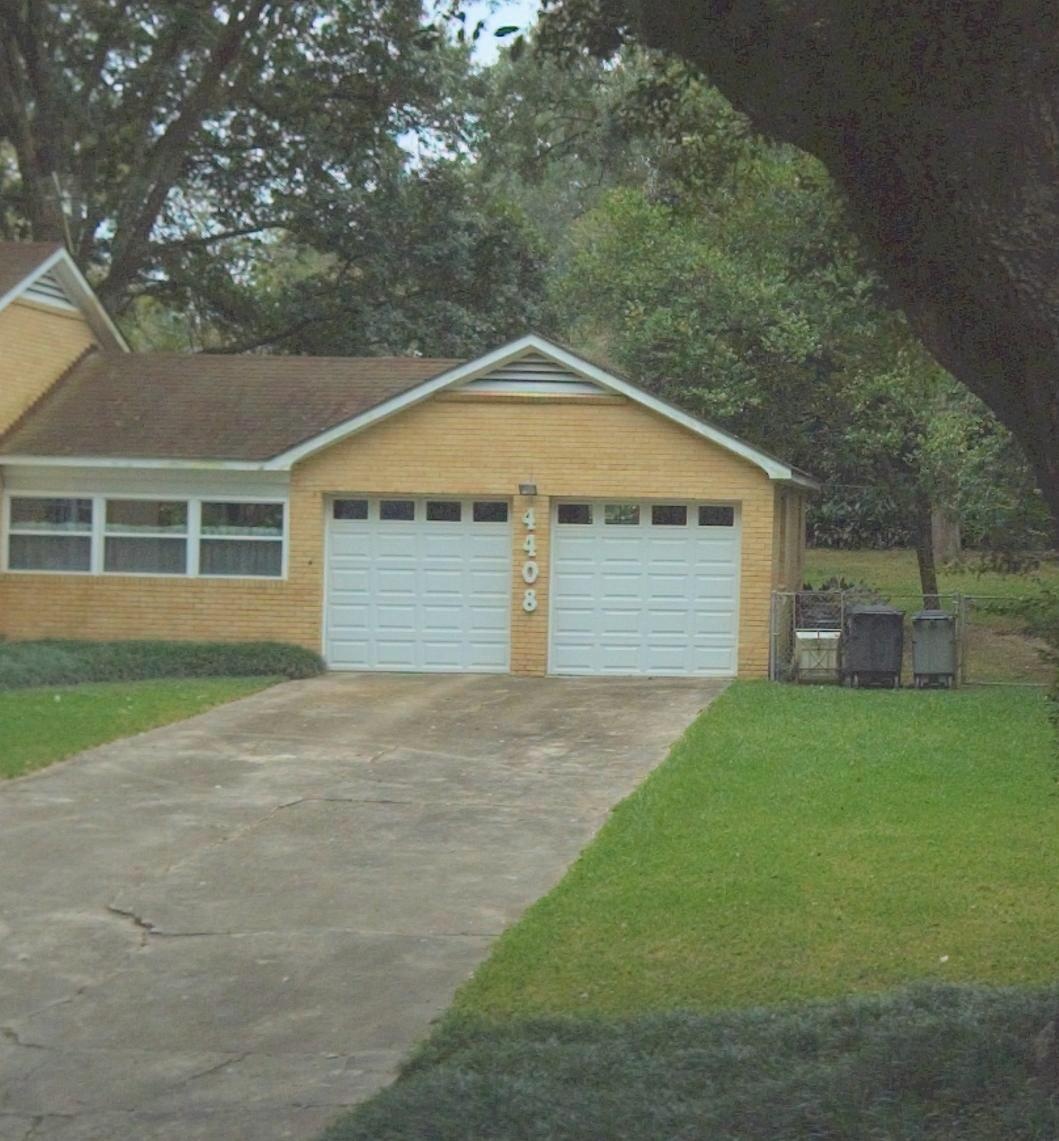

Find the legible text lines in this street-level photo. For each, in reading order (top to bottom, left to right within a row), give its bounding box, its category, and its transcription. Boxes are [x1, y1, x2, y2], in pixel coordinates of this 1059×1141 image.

[521, 505, 539, 613] StreetNumber: 4408